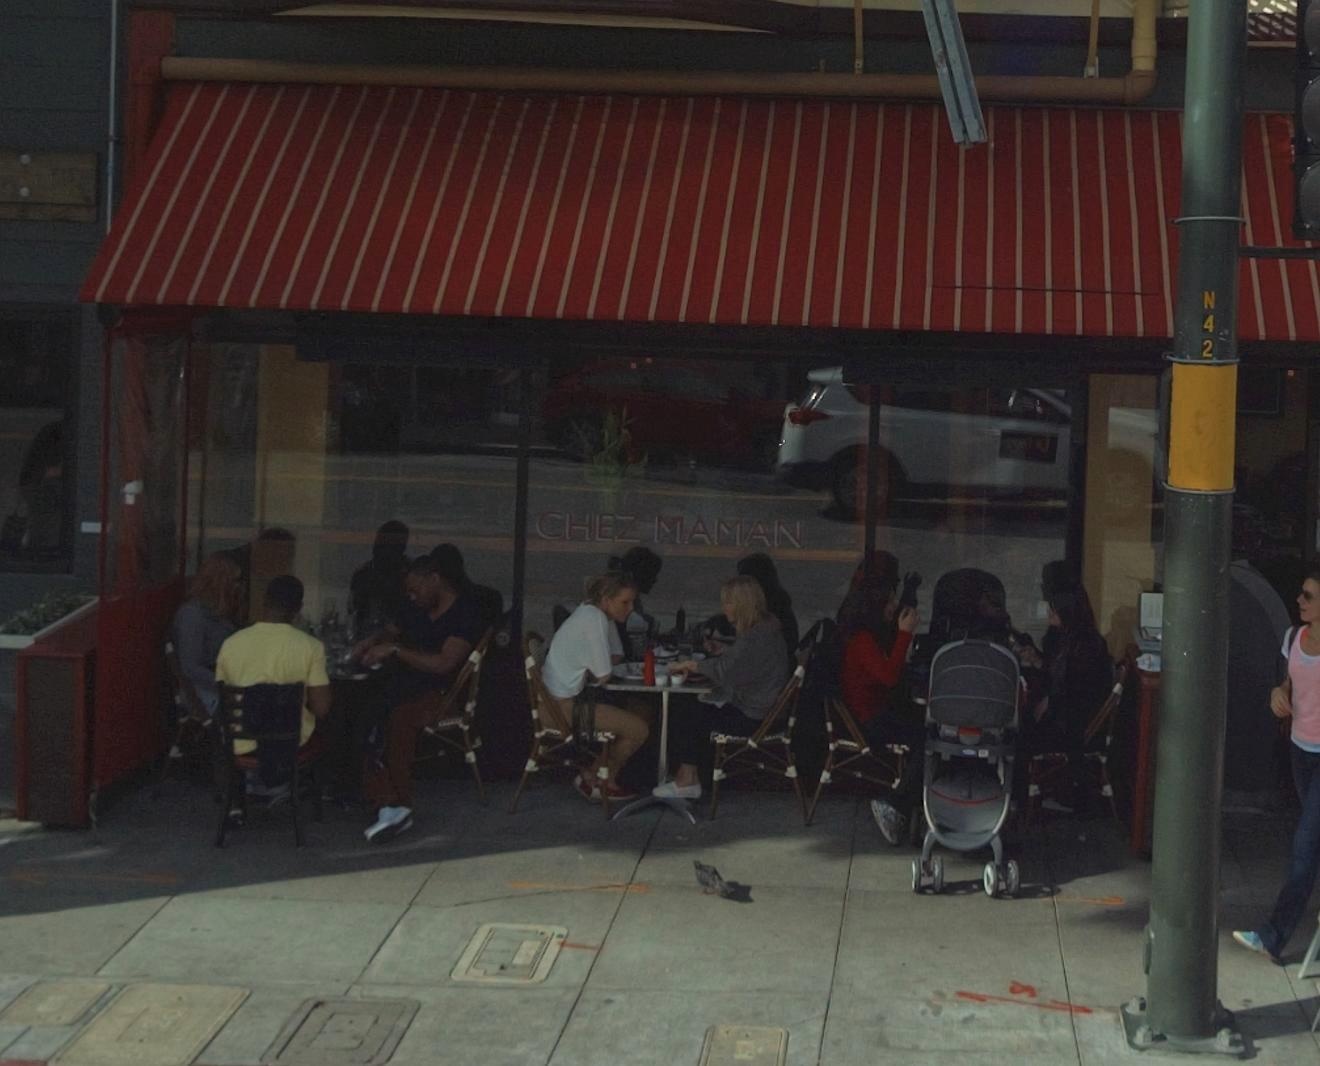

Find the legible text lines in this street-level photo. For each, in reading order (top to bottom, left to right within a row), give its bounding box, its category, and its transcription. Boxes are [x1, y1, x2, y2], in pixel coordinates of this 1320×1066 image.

[1200, 288, 1217, 360] None: N42
[534, 508, 805, 551] BusinessName: CHEZ MAMAN